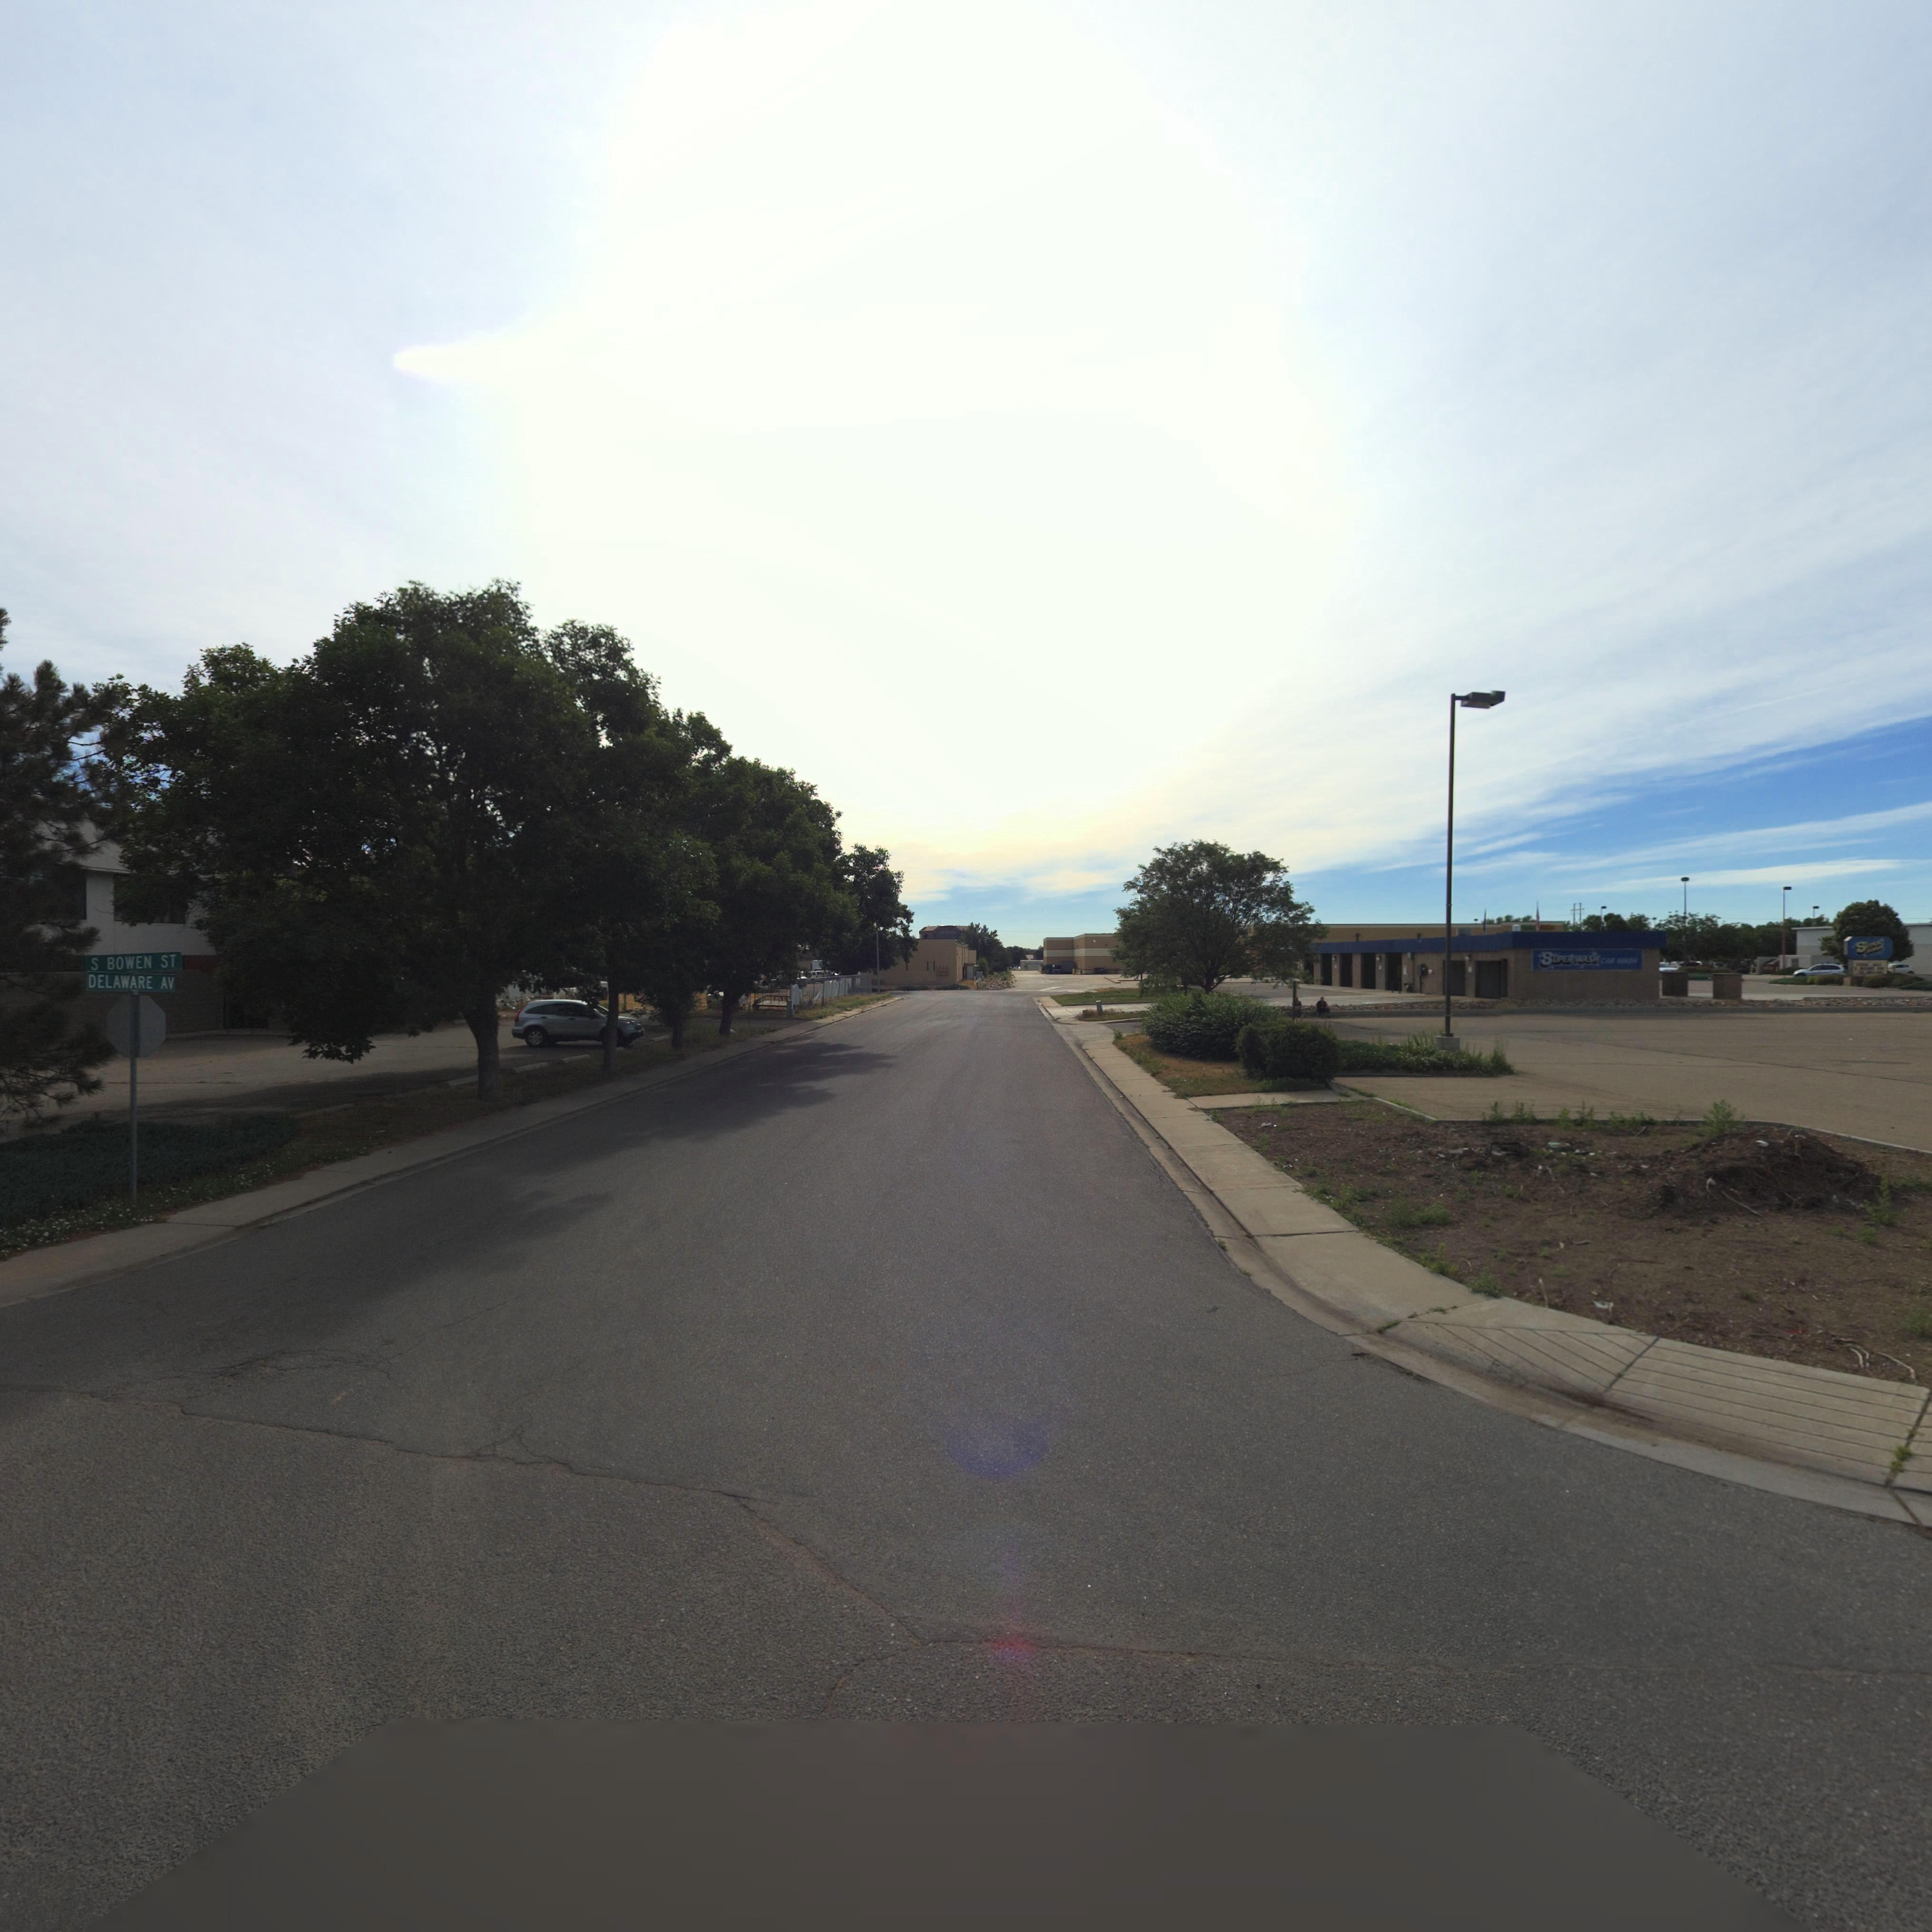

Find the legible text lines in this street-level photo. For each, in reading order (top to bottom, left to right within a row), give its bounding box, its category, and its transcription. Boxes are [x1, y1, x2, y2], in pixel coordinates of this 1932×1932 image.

[1855, 939, 1881, 954] BusinessName: S****
[89, 953, 177, 971] StreetName: S BOWEN ST
[1540, 950, 1638, 966] BusinessName: SUPER WASH CAR WASH
[87, 973, 175, 990] StreetName: DELAWARE AV